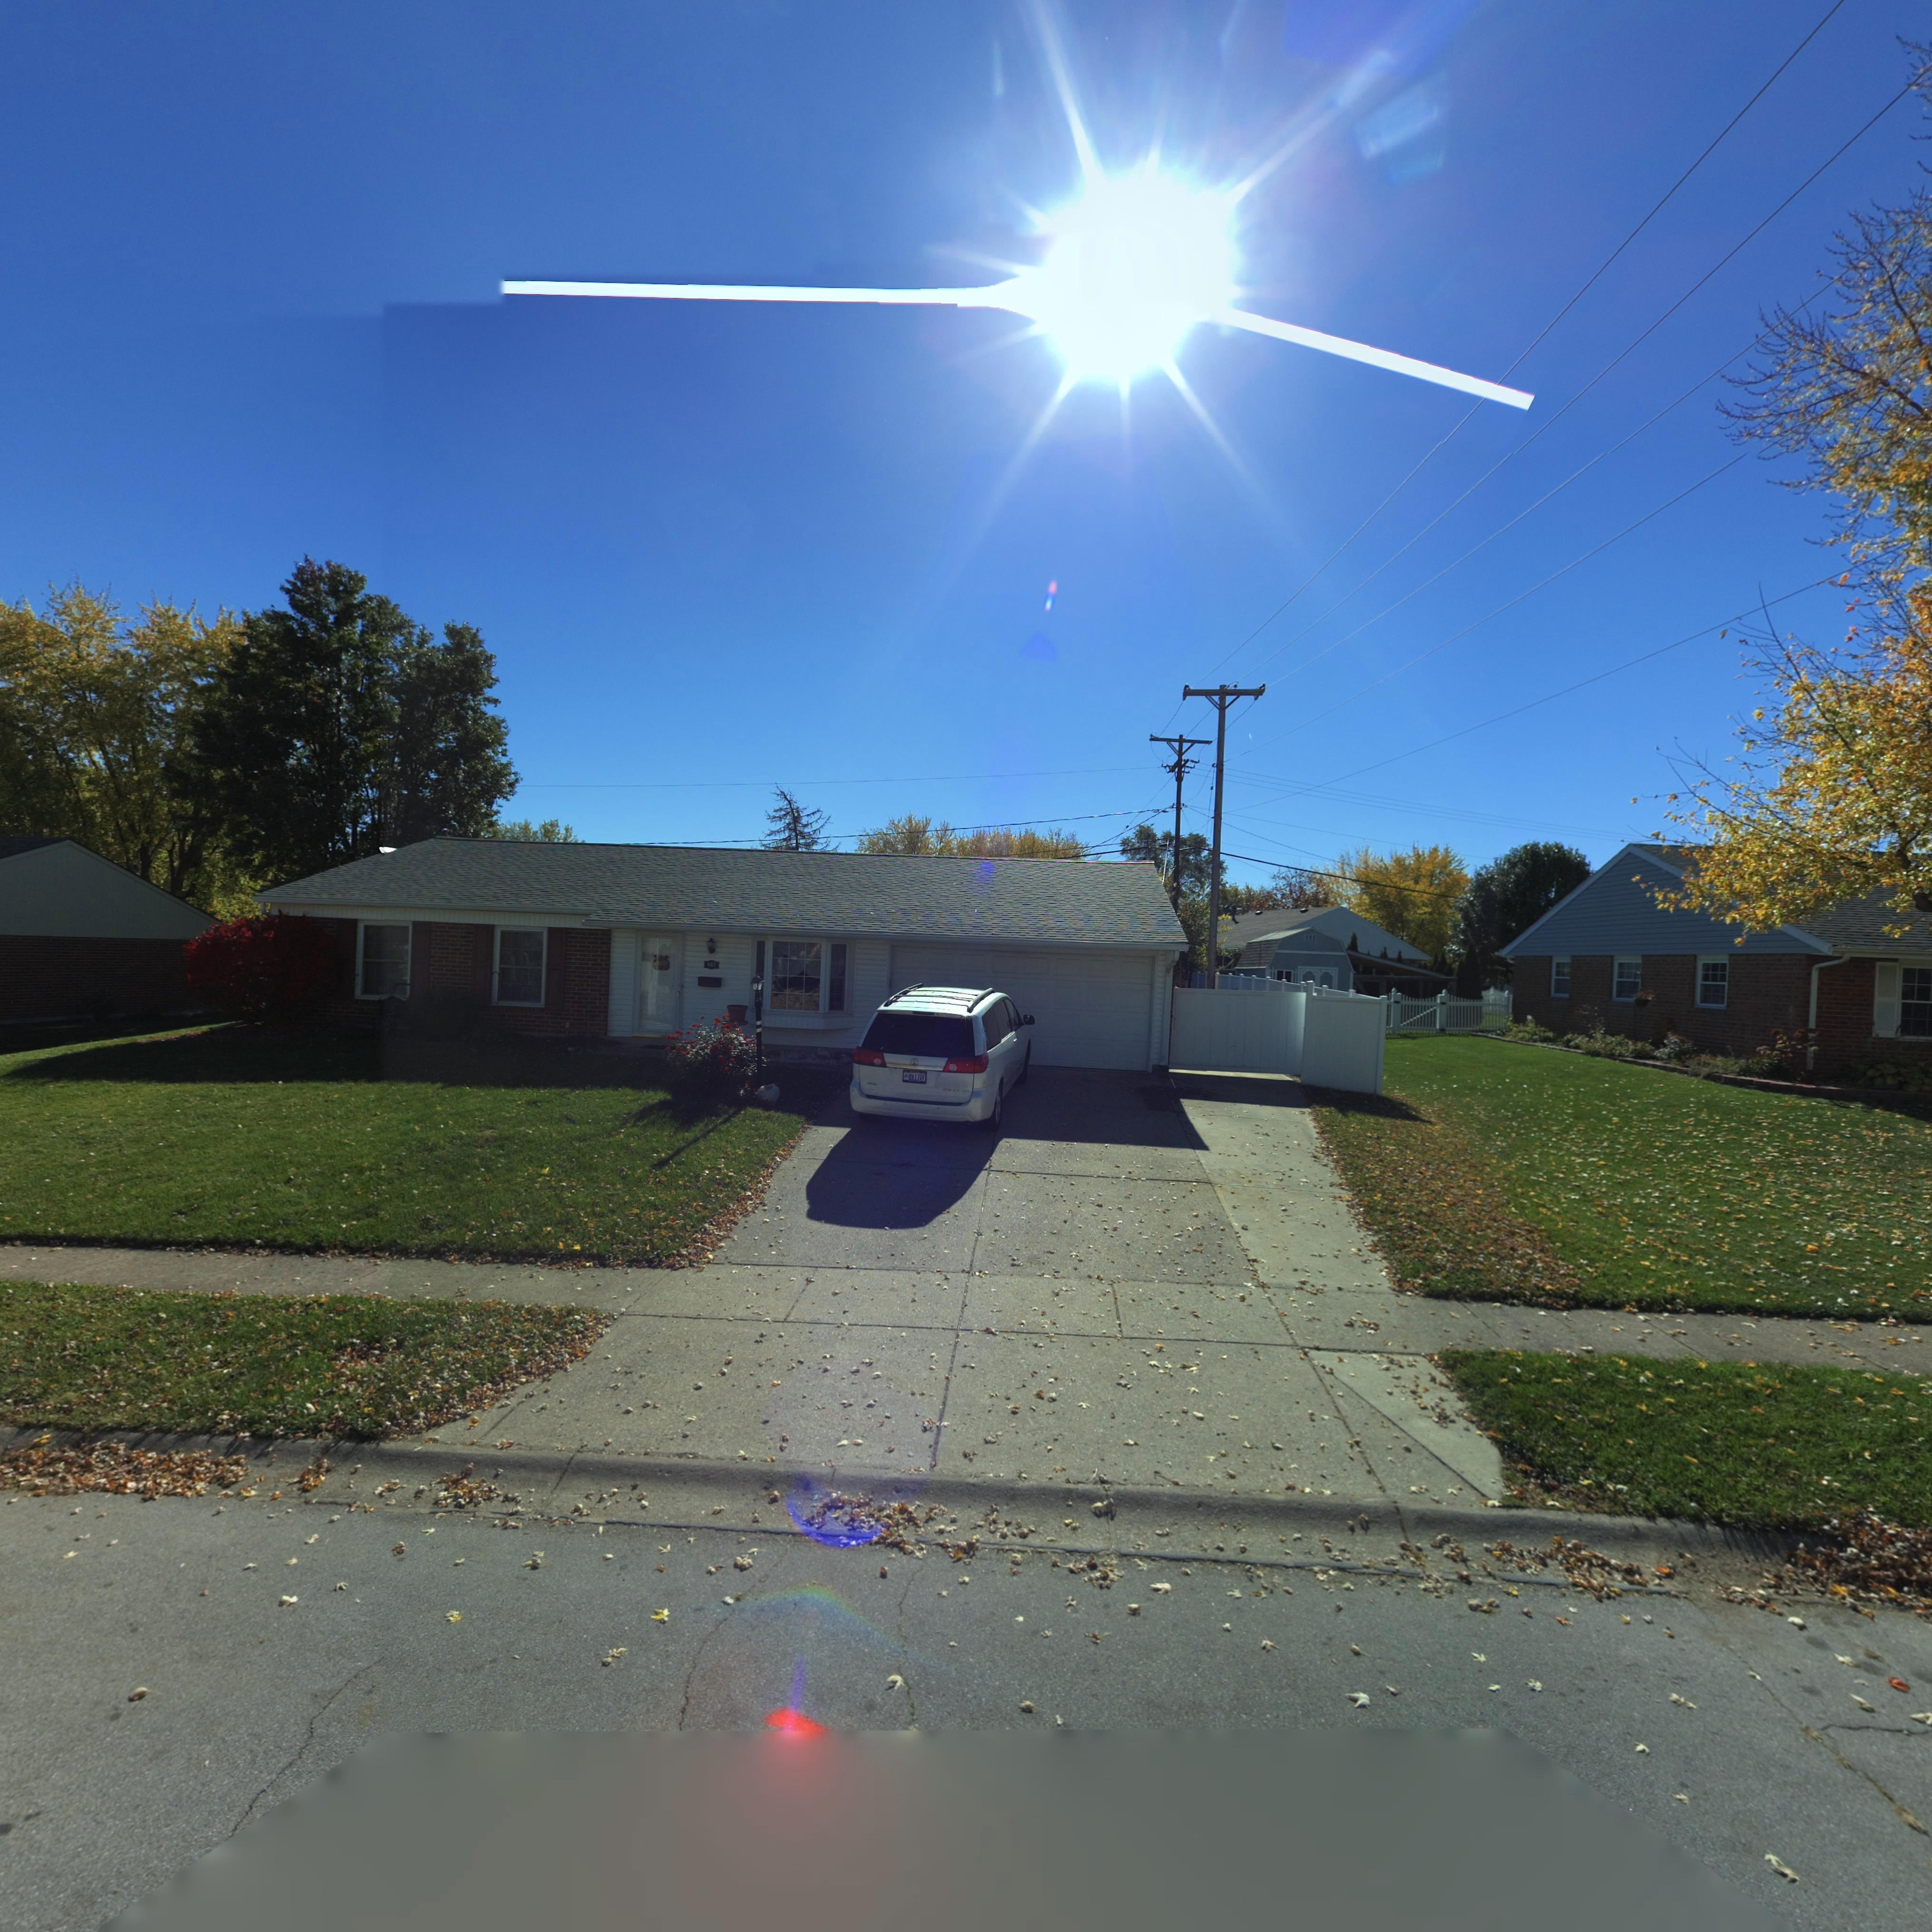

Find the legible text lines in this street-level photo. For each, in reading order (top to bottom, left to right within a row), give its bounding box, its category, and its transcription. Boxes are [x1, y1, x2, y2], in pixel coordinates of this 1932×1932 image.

[706, 961, 716, 967] StreetNumber: 807